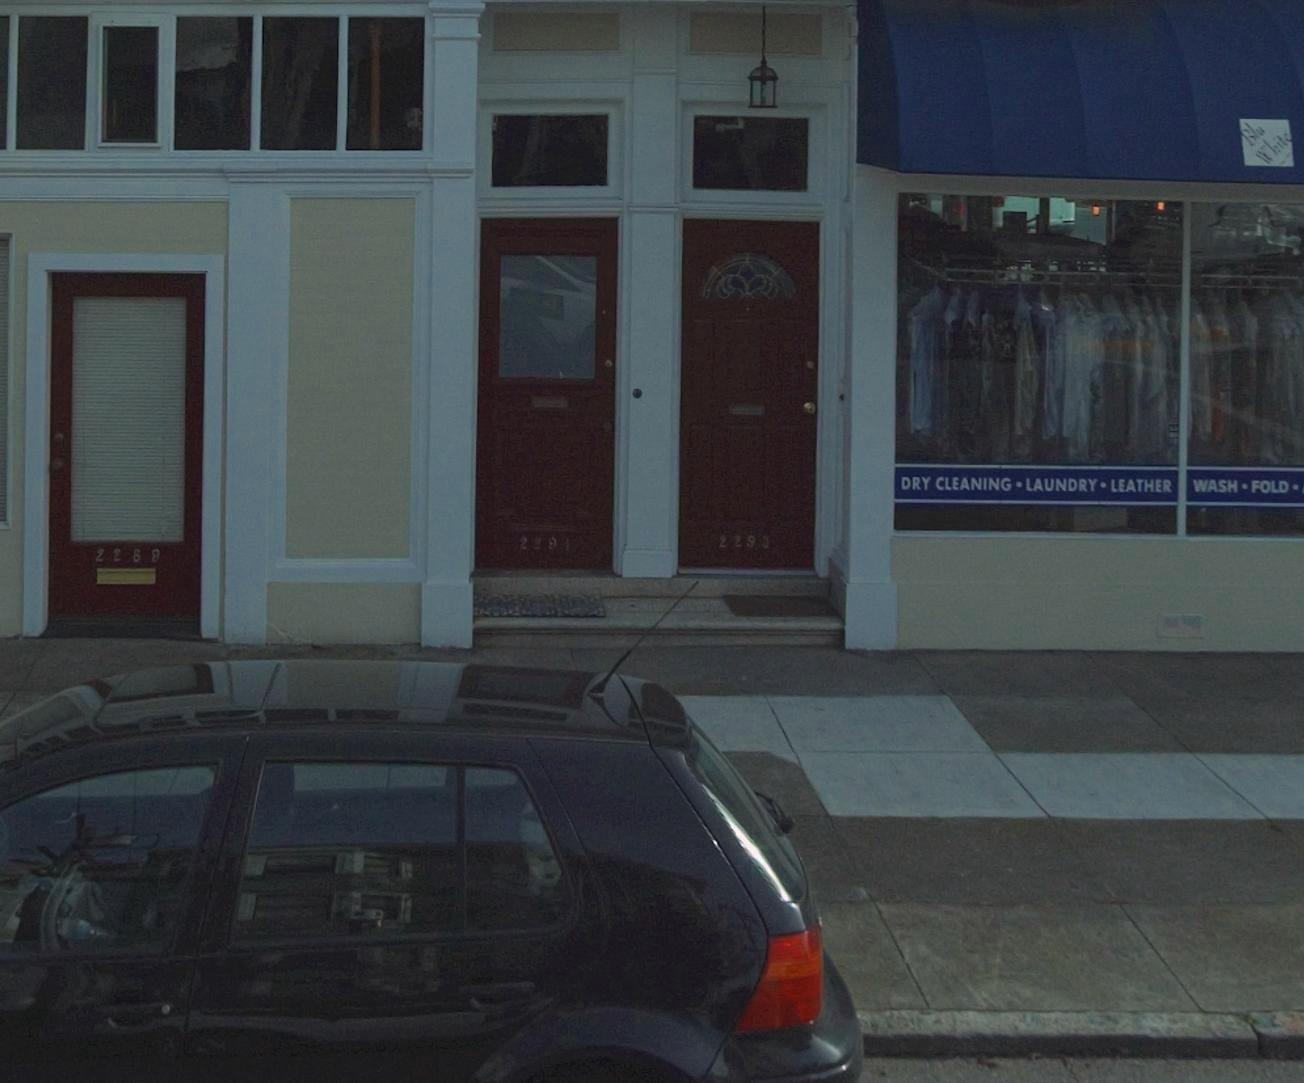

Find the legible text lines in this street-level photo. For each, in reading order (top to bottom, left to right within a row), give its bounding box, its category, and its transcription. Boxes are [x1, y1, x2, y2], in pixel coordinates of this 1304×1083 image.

[1235, 120, 1271, 151] BusinessName: Blu
[1250, 129, 1295, 168] BusinessName: White
[898, 472, 1175, 496] None: DRY CLEANING * LAUNDRY * LEATHER
[1189, 476, 1292, 497] None: WASH * FOLD
[518, 534, 571, 553] StreetNumber: 2291
[717, 532, 772, 550] StreetNumber: 2293
[93, 545, 163, 566] StreetNumber: 2289